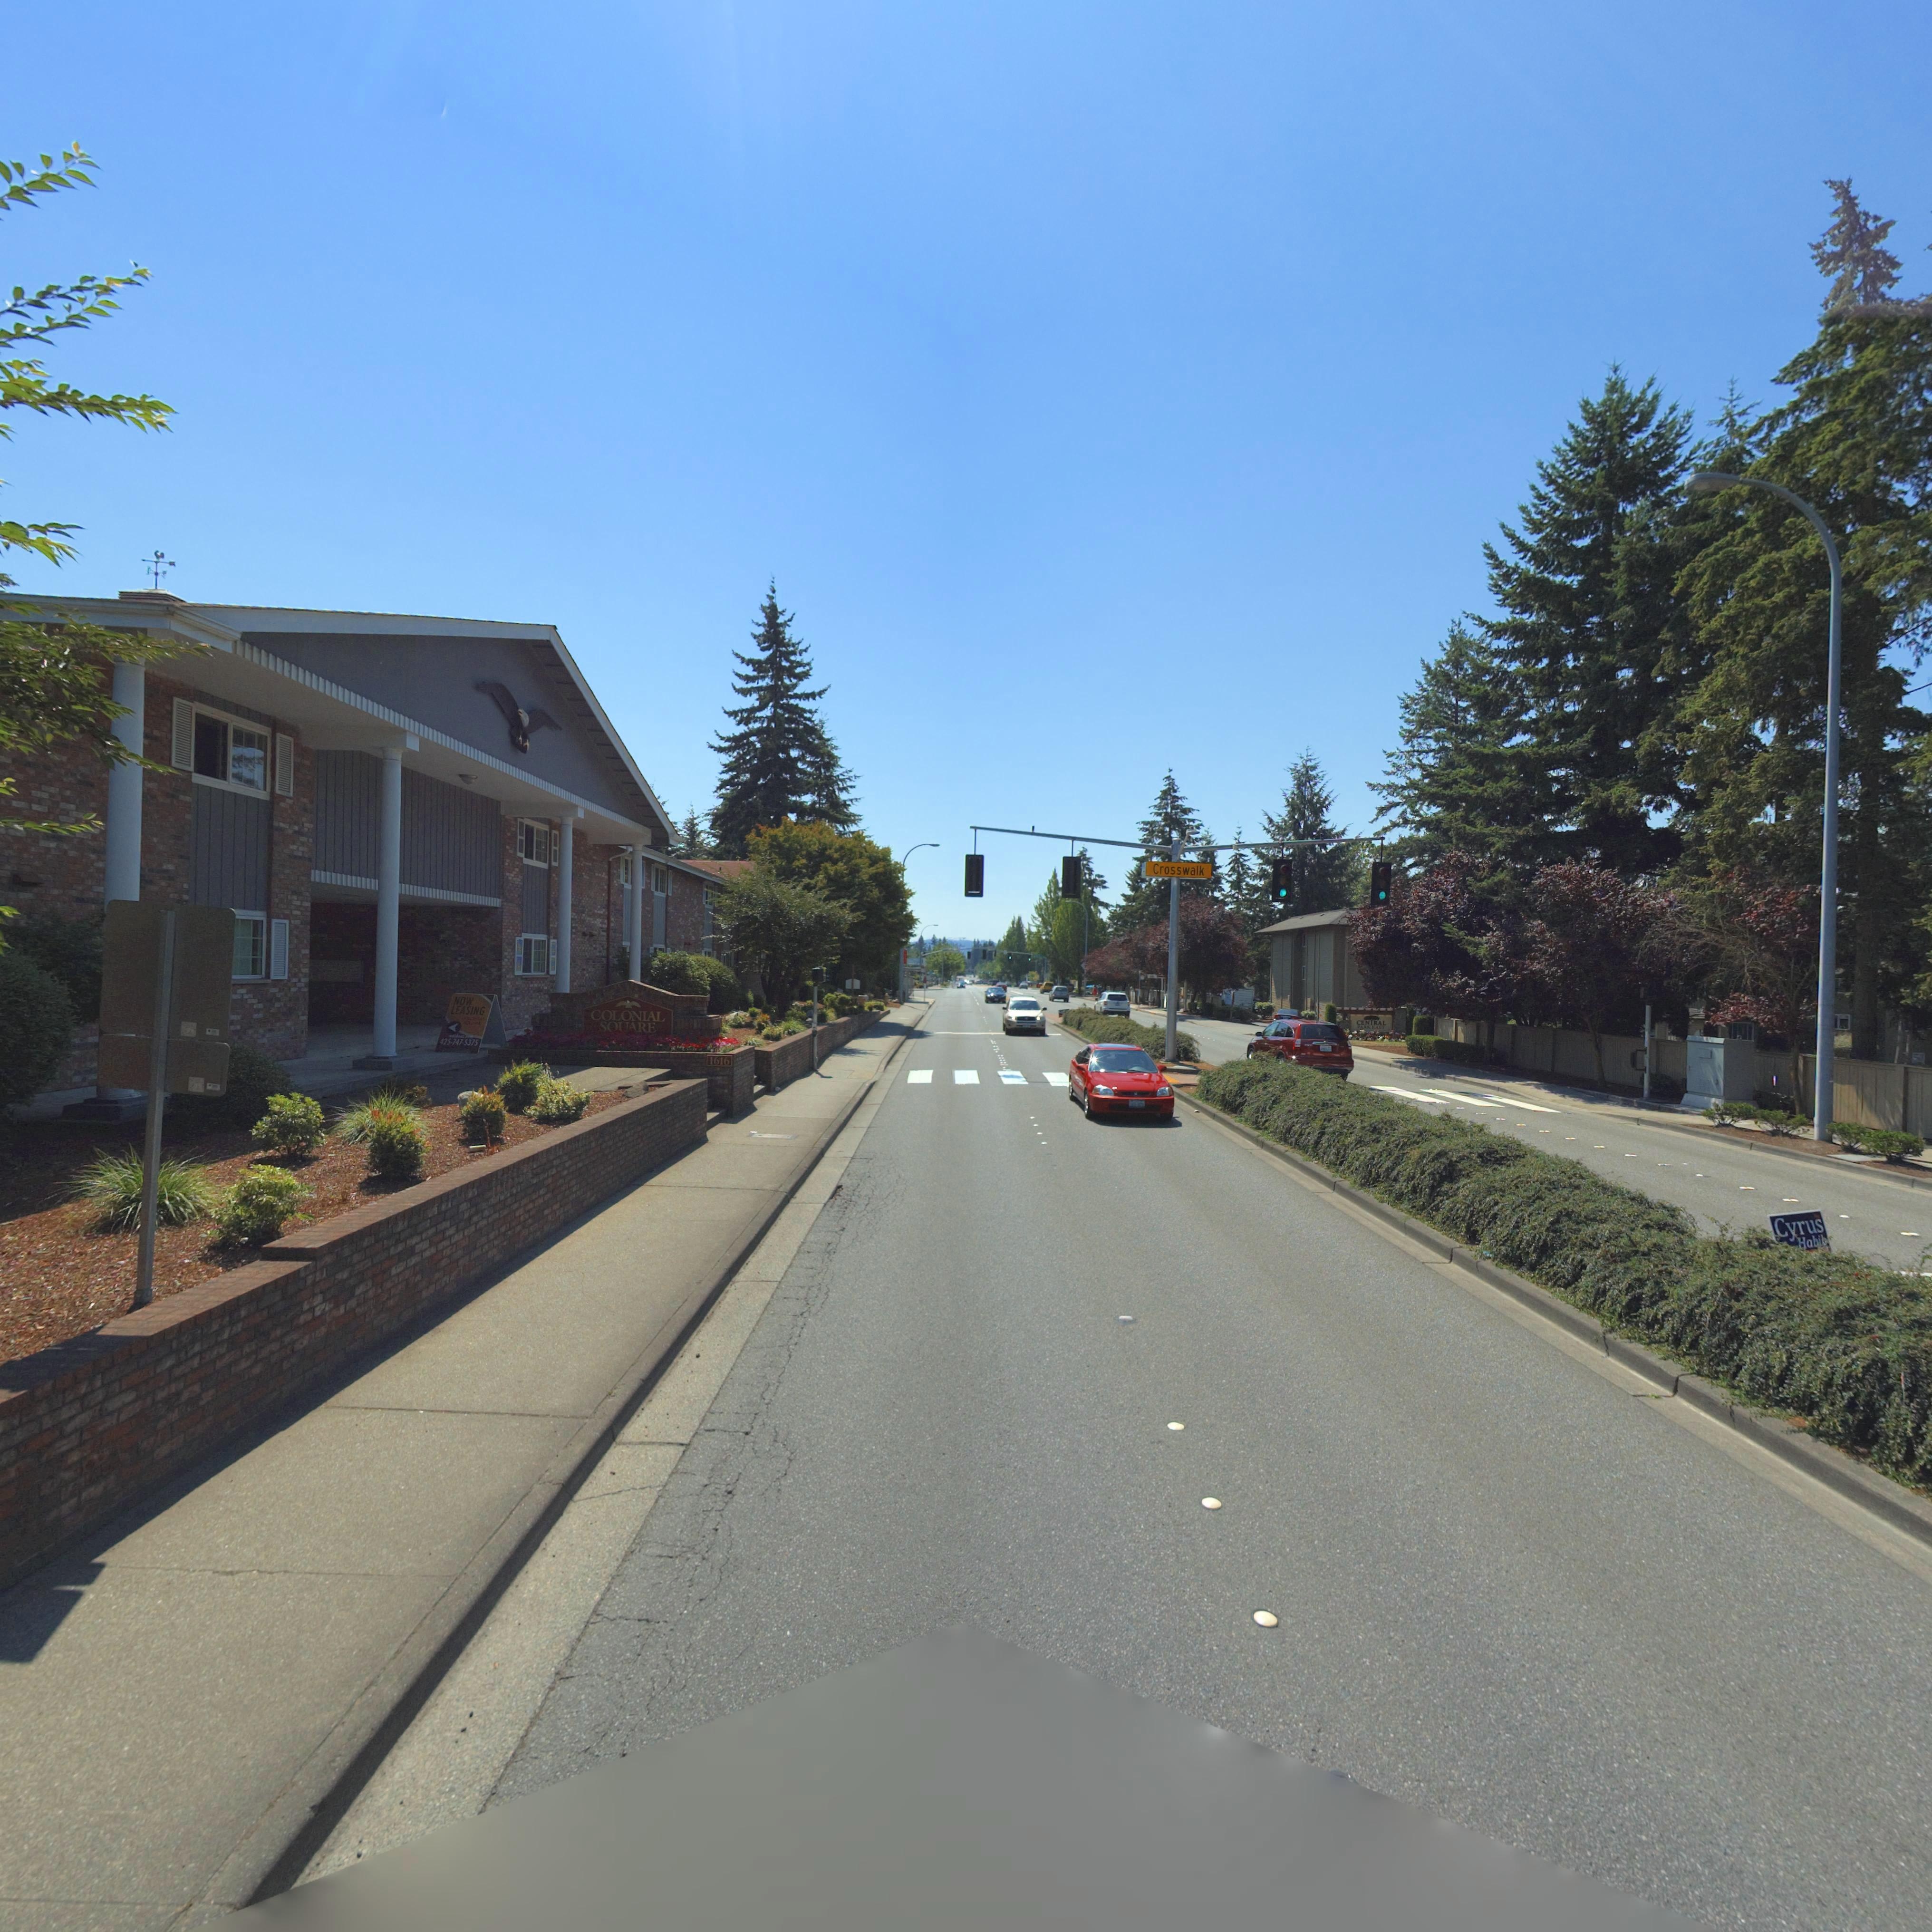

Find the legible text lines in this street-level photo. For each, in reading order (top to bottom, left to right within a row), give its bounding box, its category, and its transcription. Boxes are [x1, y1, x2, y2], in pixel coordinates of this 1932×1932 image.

[591, 1010, 665, 1021] BusinessName: COLONIAL
[1356, 1015, 1386, 1025] BusinessName: CEN*RAL
[599, 1022, 656, 1033] BusinessName: S*U*RE
[710, 1056, 717, 1064] StreetNumber: 1*